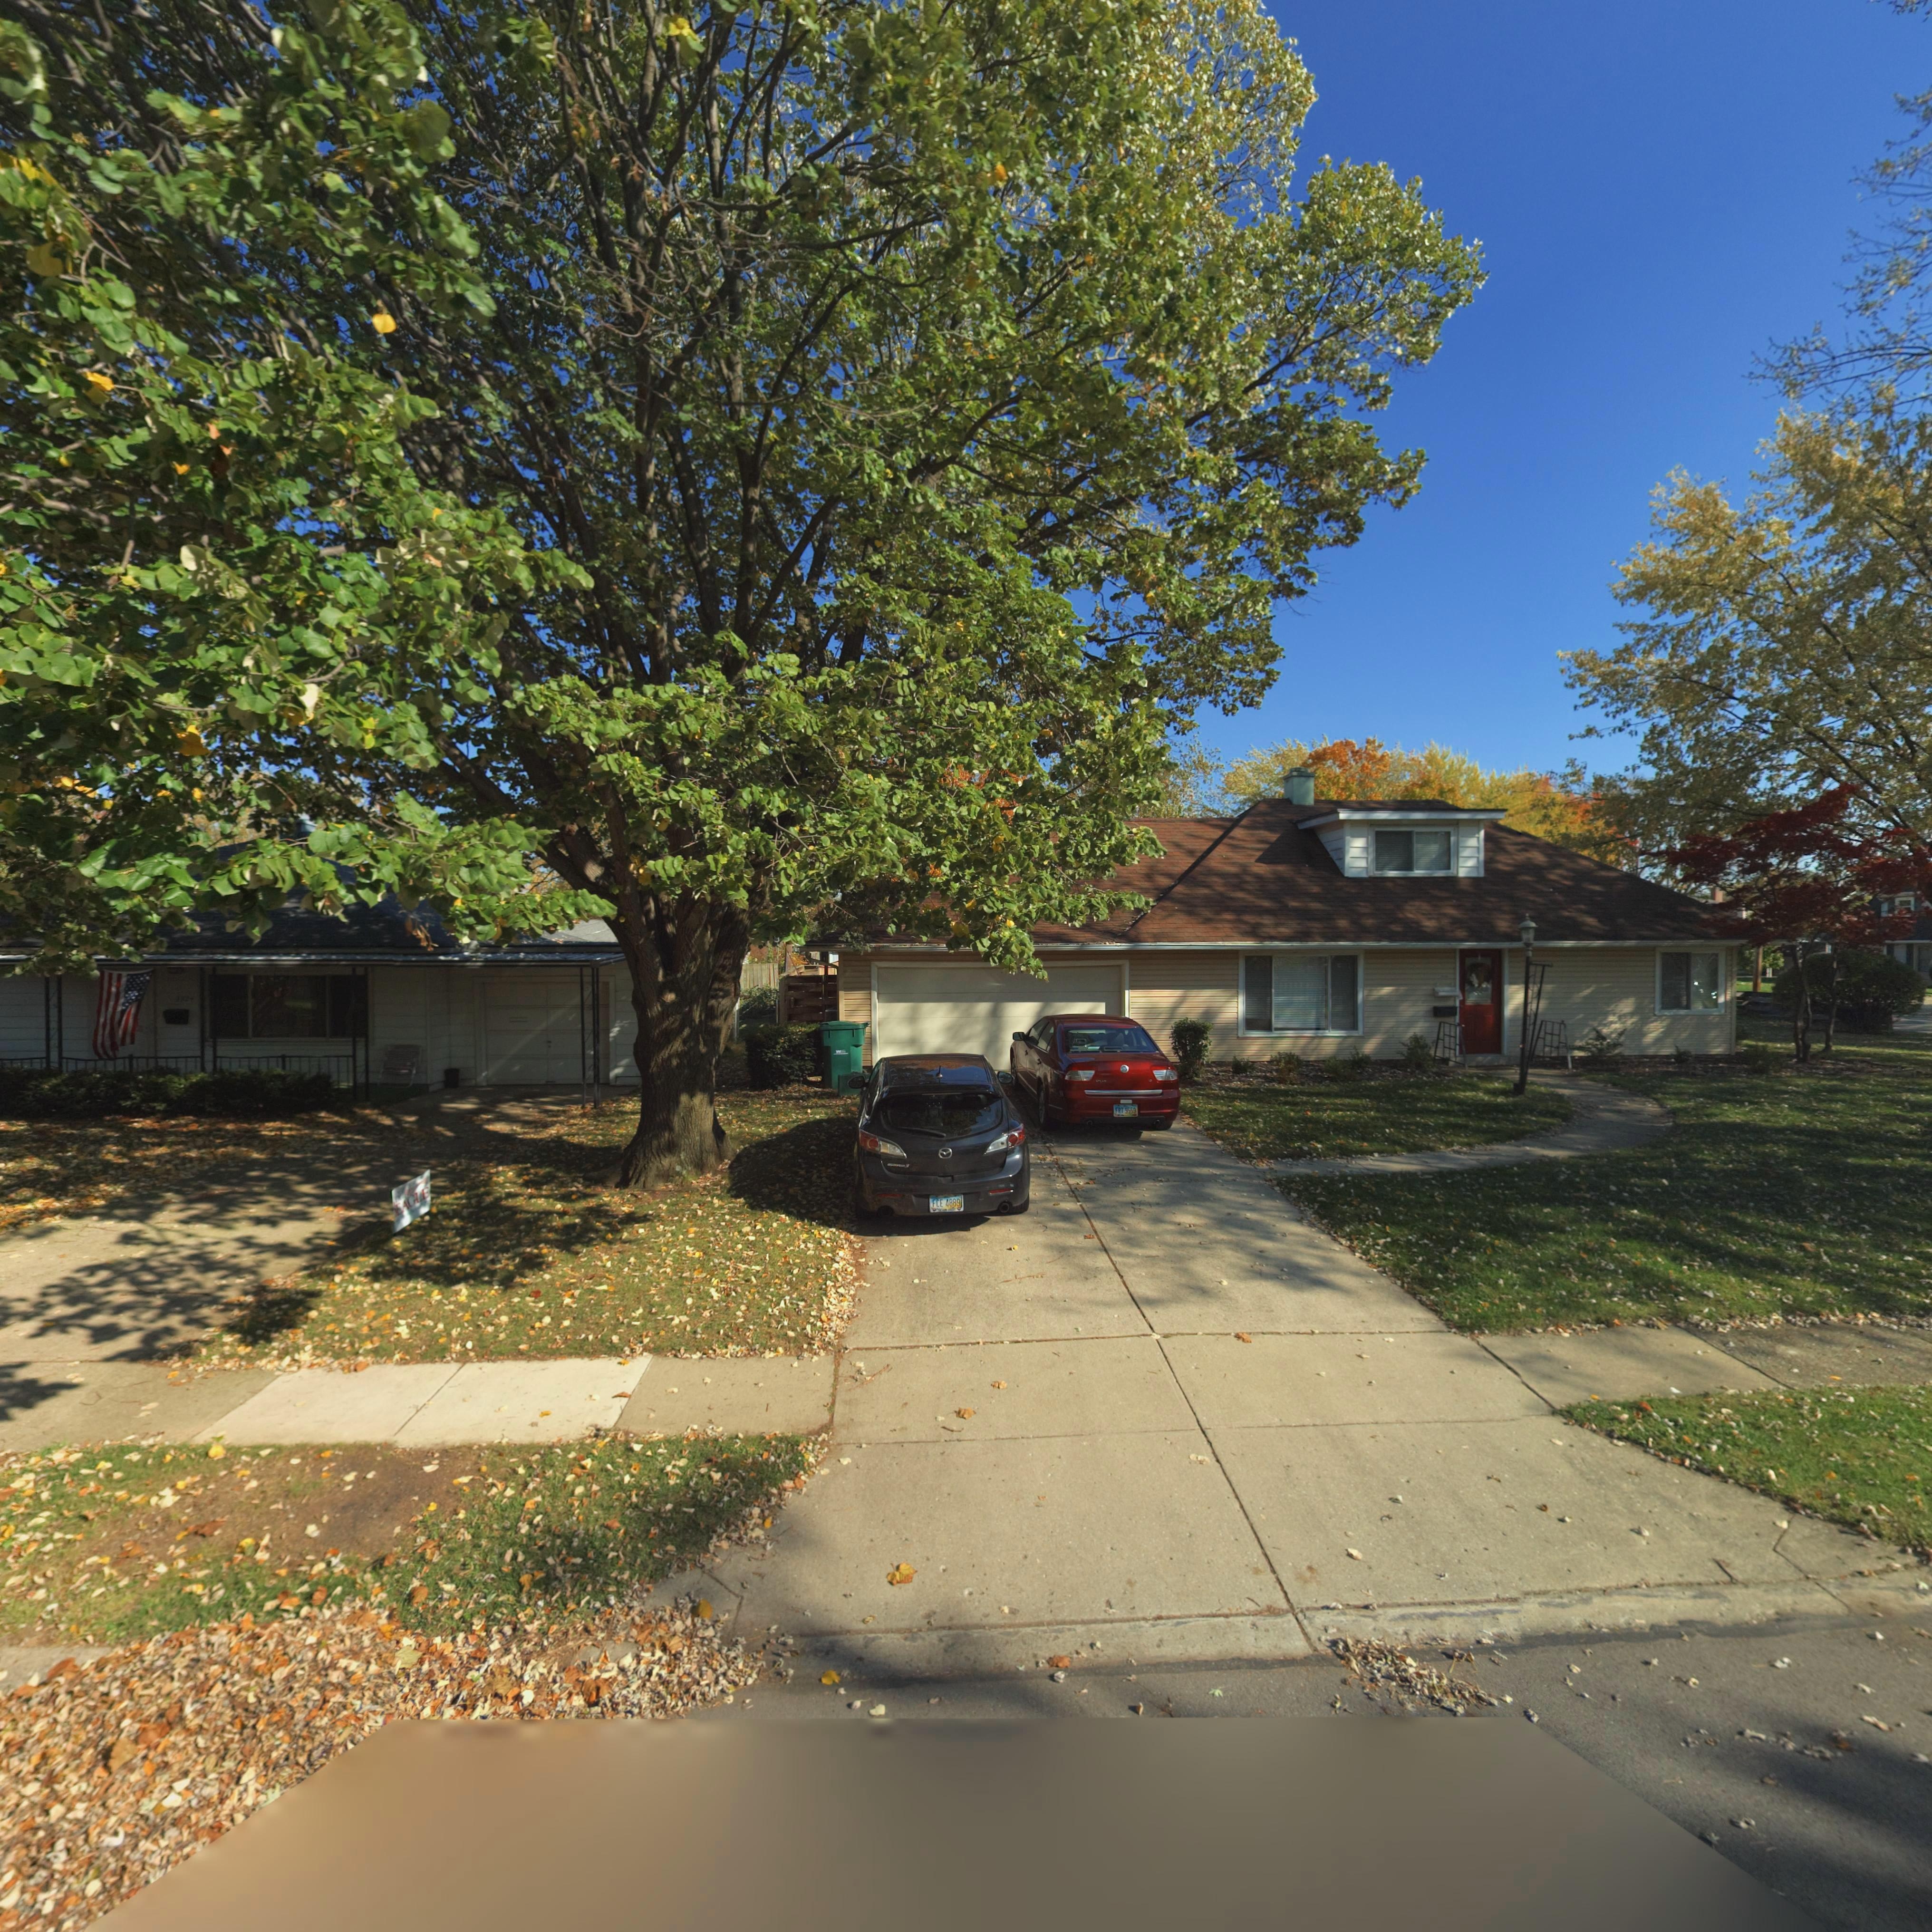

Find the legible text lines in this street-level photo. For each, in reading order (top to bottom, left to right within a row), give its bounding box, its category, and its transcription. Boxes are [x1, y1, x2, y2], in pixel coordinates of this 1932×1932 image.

[1114, 1106, 1137, 1115] None: FRT 9559
[392, 1183, 431, 1219] None: EAGLE
[931, 1197, 961, 1208] None: FCE 4889